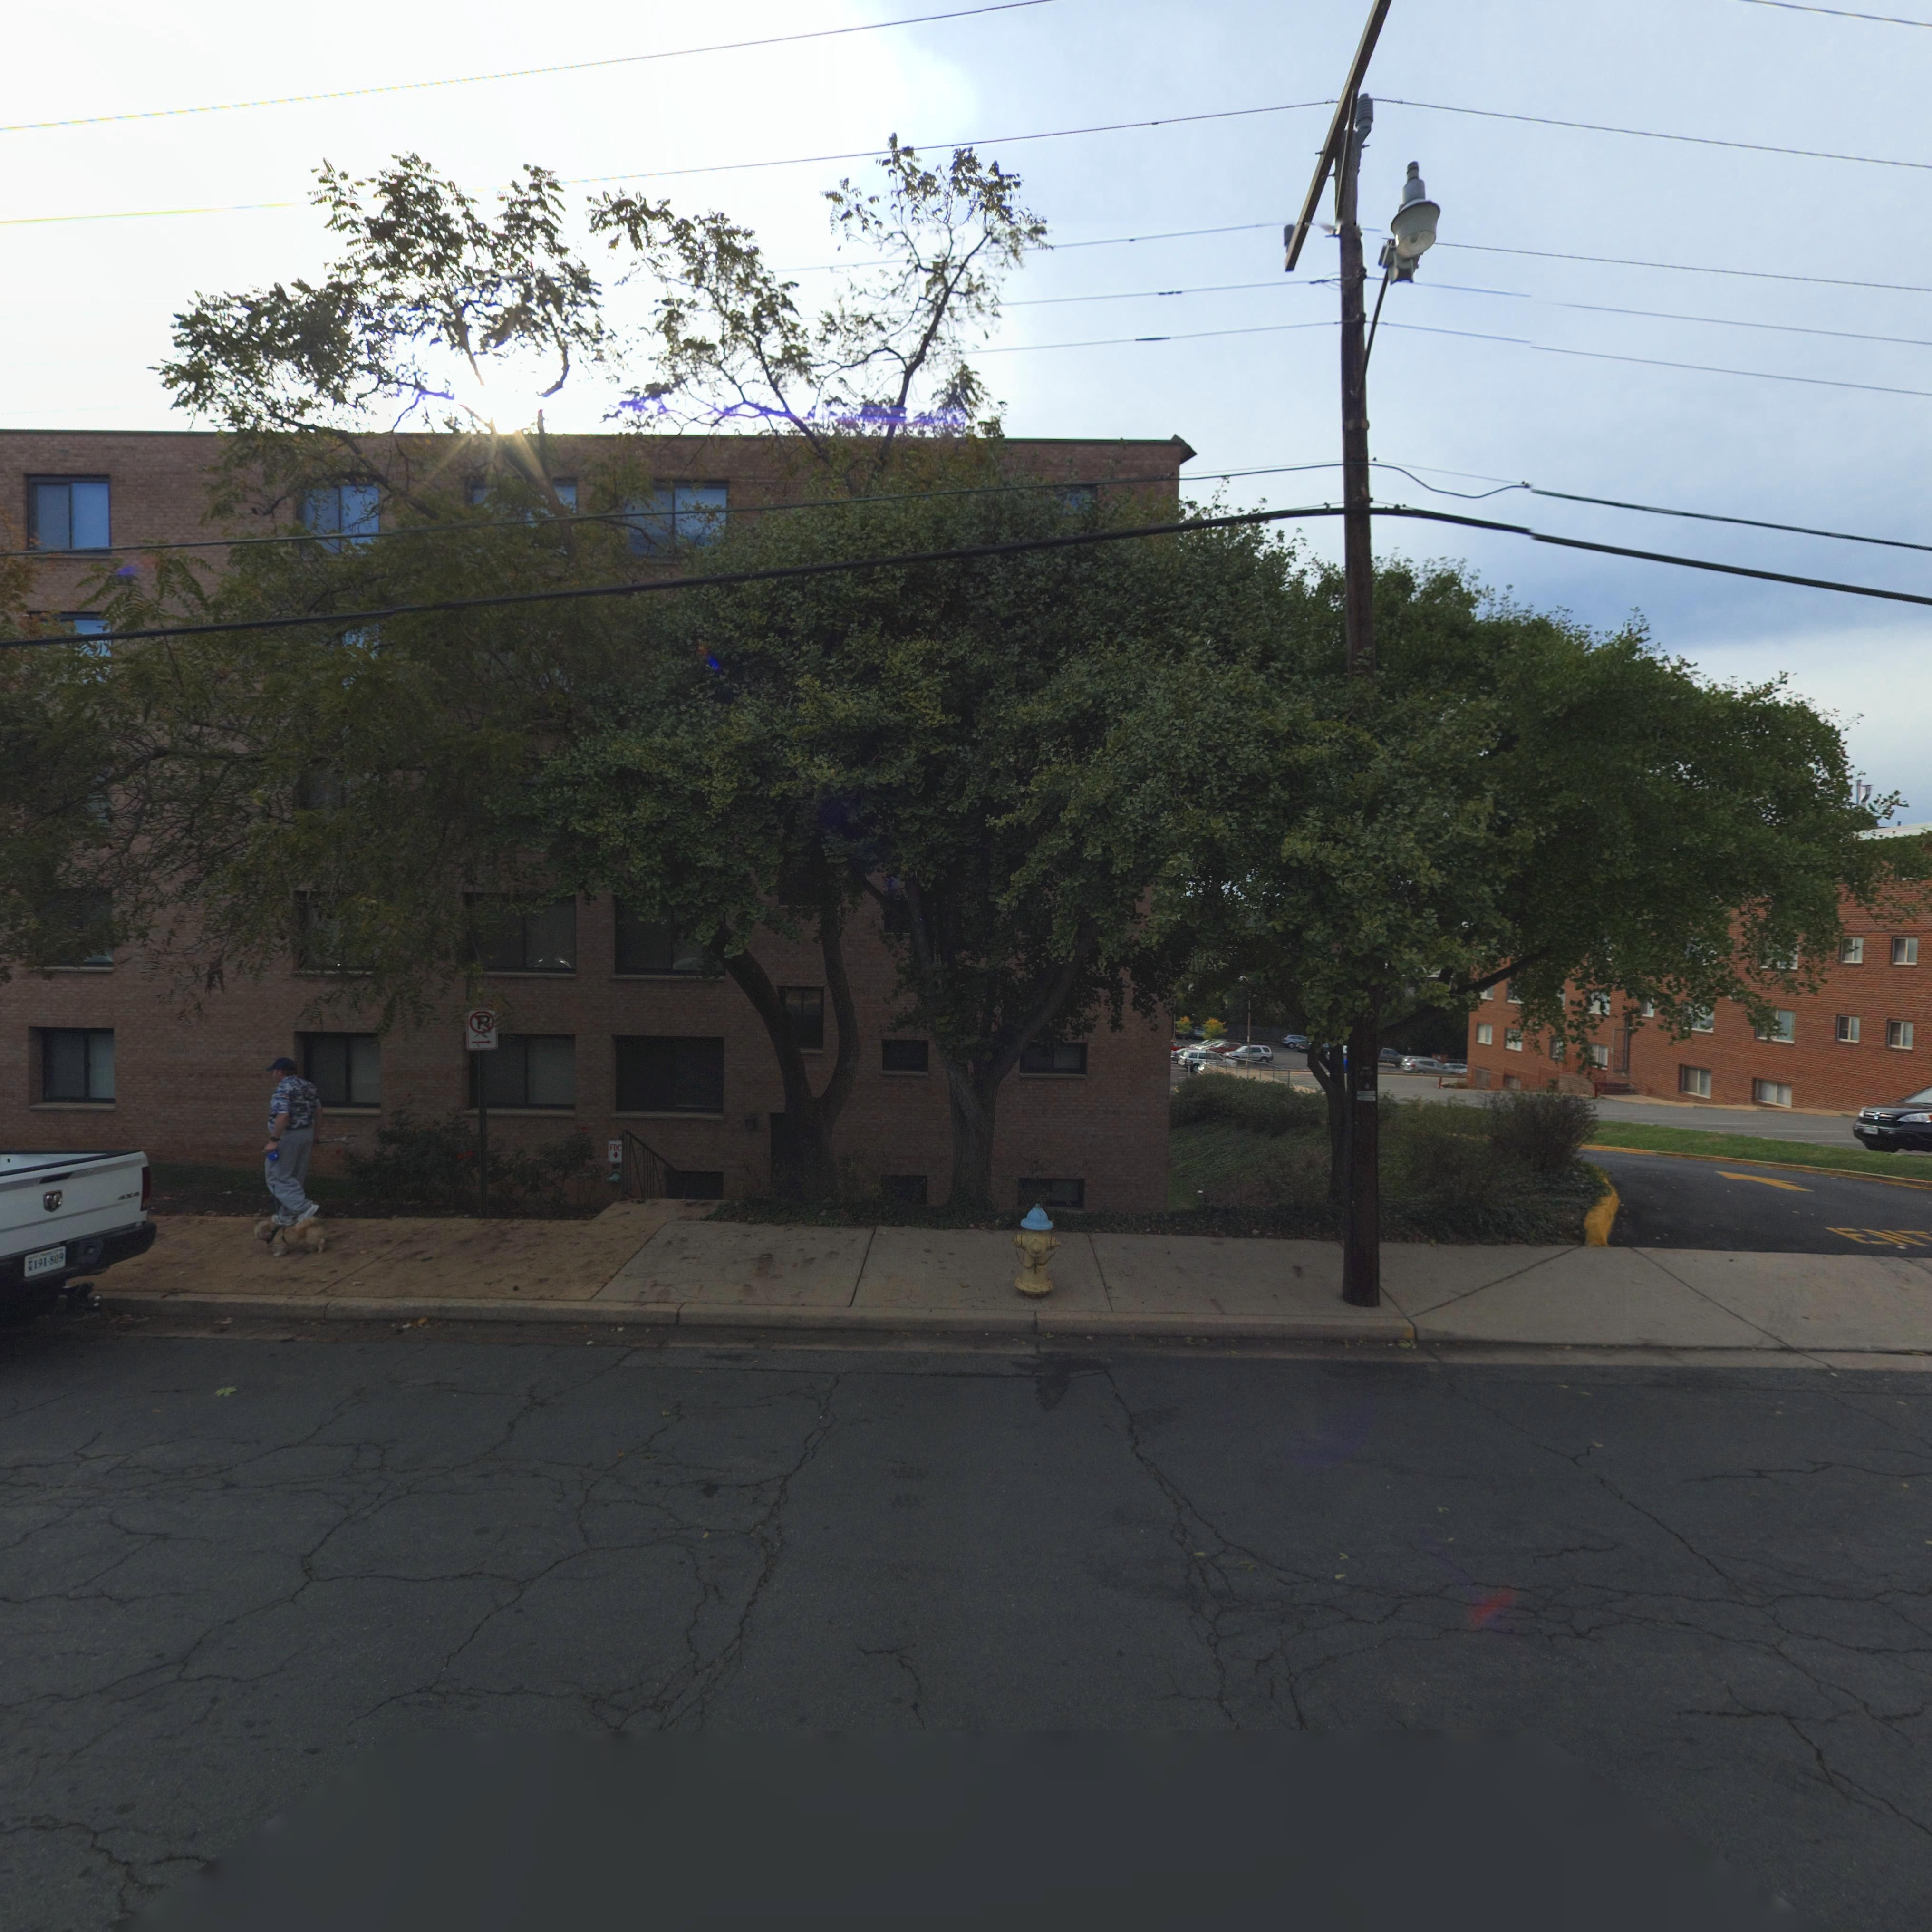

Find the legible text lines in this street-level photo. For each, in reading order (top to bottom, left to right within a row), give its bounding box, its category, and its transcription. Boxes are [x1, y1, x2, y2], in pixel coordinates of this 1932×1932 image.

[609, 1144, 622, 1151] None: FDC
[1818, 1226, 1932, 1246] None: EN
[34, 1251, 64, 1271] None: 191-809